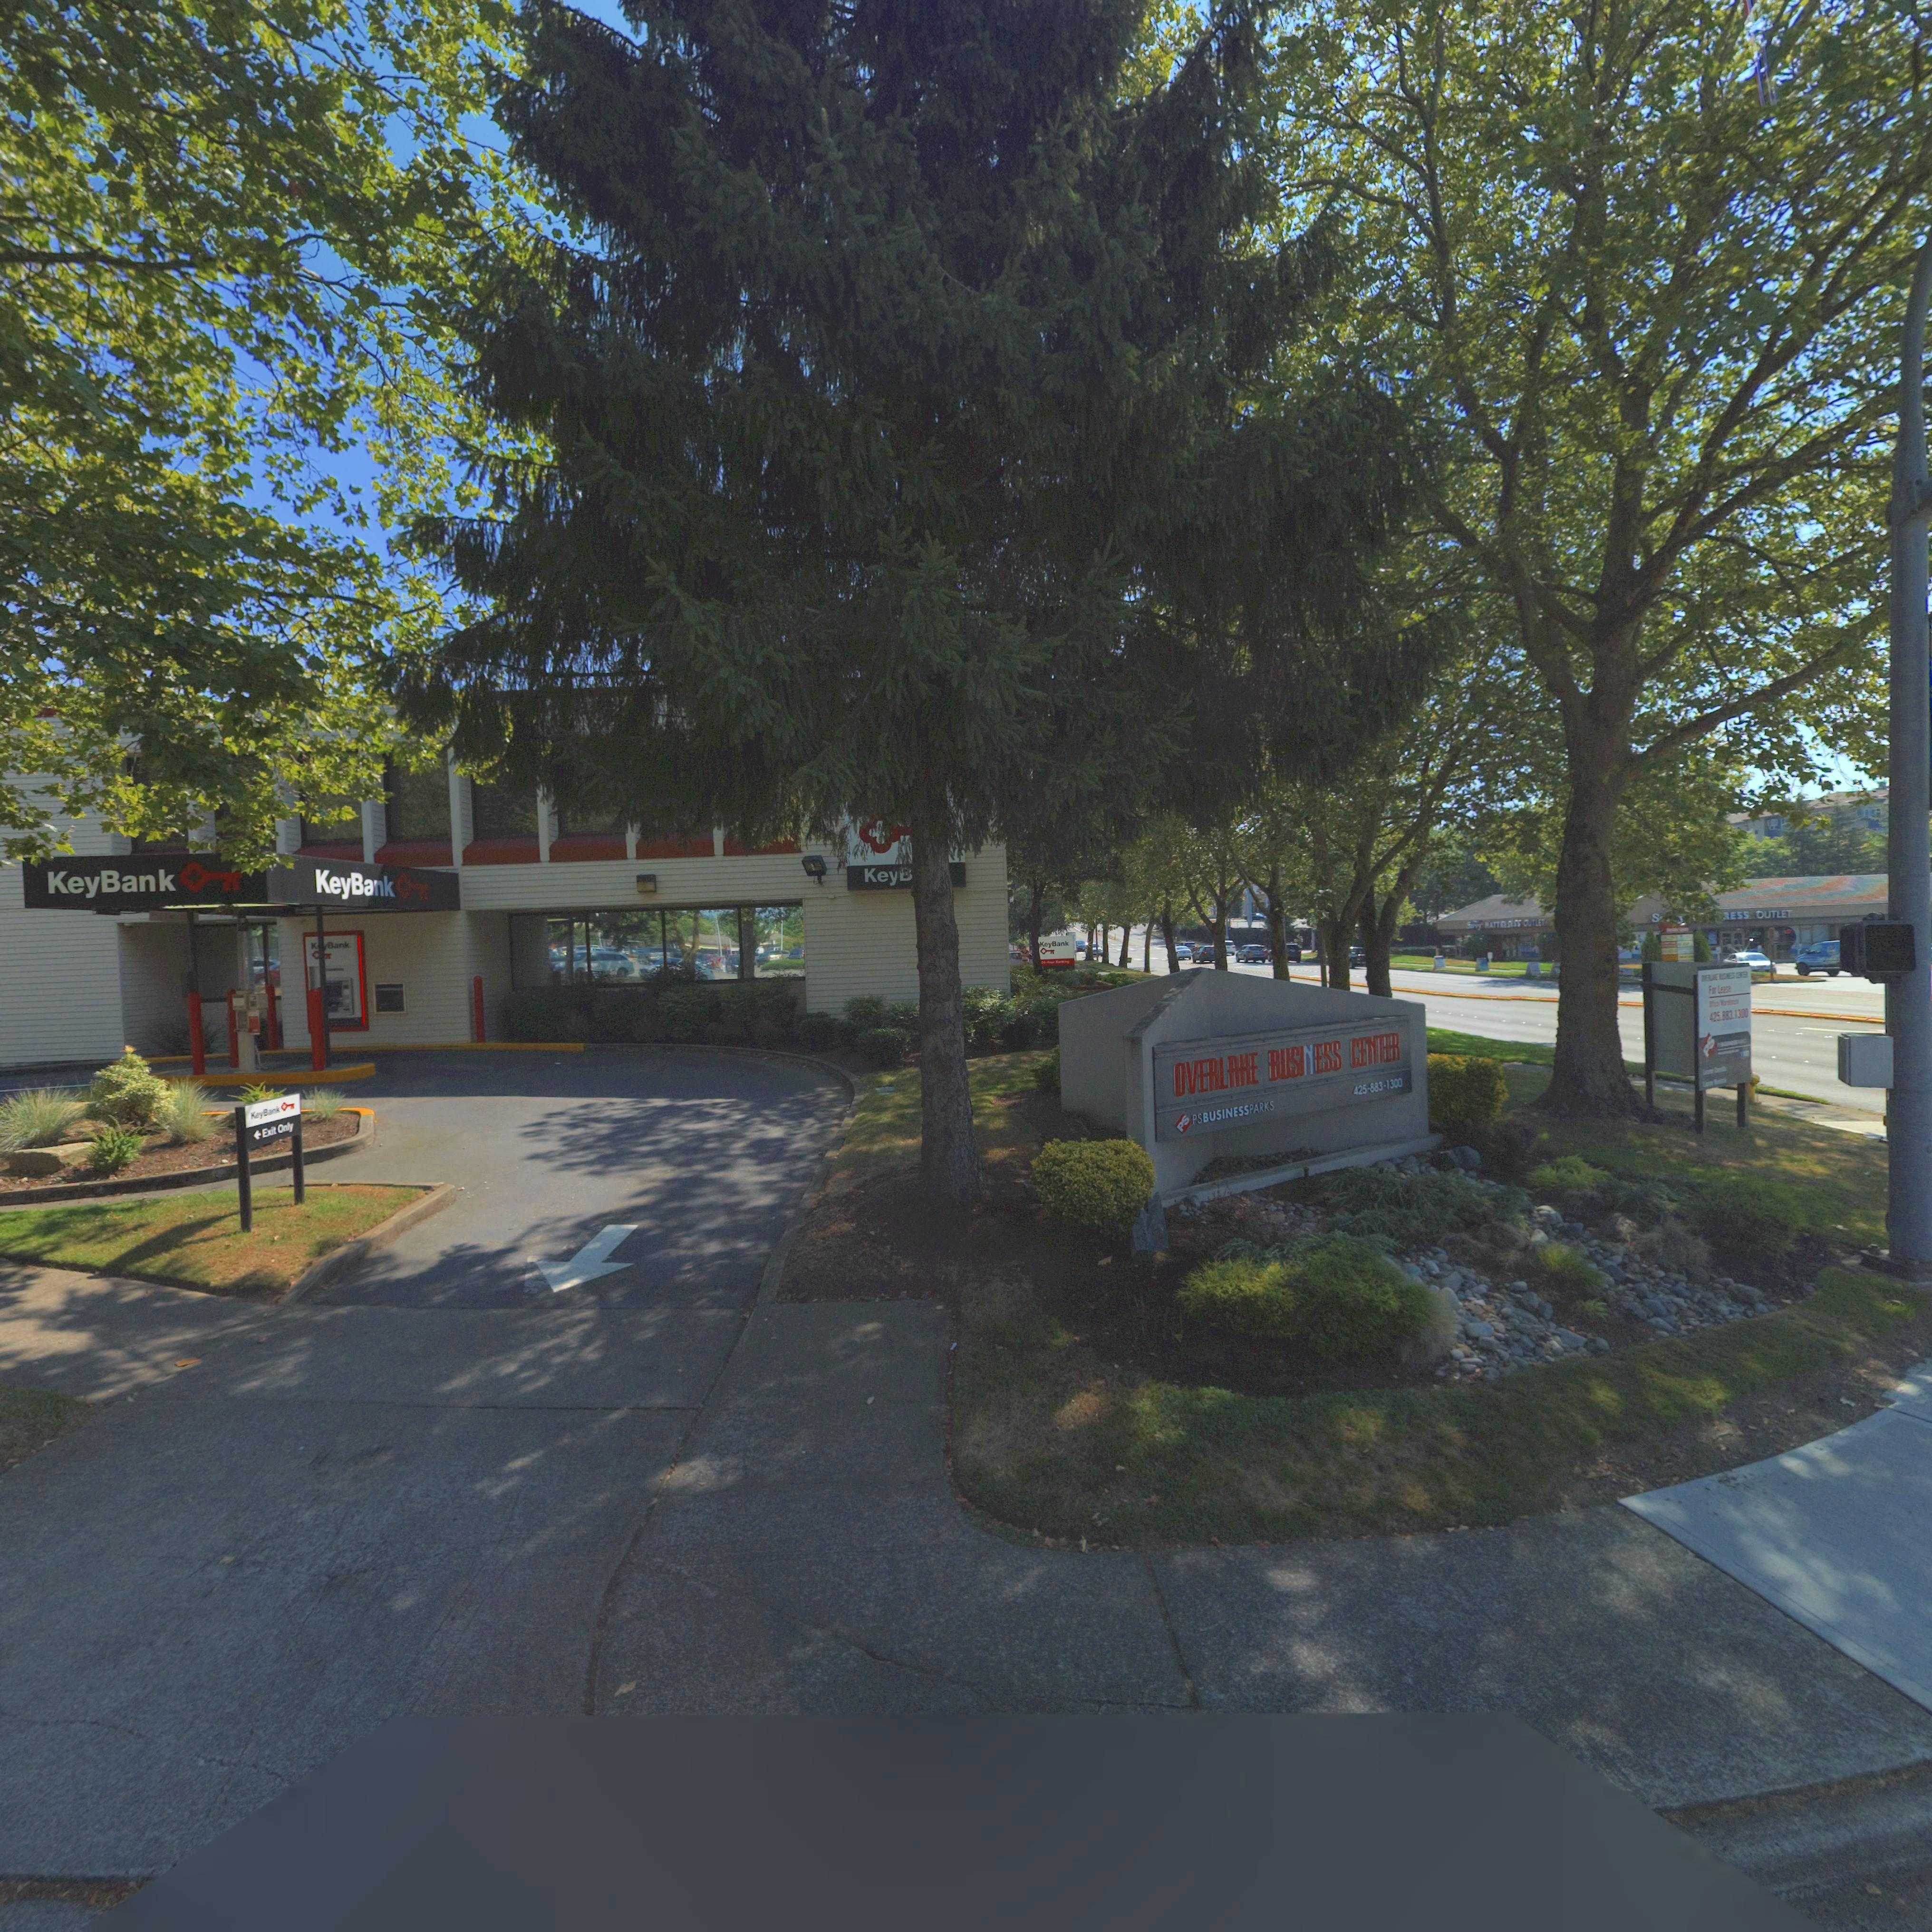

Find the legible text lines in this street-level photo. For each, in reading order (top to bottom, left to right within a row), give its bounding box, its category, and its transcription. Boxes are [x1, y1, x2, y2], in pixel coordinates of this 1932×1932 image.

[864, 867, 912, 885] BusinessName: Key*
[47, 869, 175, 898] BusinessName: KeyBank
[315, 869, 395, 899] BusinessName: KeyBank
[1652, 910, 1792, 924] BusinessName: S**** ****ESS OUTLET
[1466, 919, 1544, 930] BusinessName: S***y **TT**SS OUTLET
[311, 942, 349, 949] BusinessName: *K**Bank
[1040, 941, 1068, 947] BusinessName: KeyBank
[1173, 1032, 1400, 1096] BusinessName: OVERLAKE BUSINESS CENTER
[251, 1106, 280, 1119] BusinessName: KeyBank